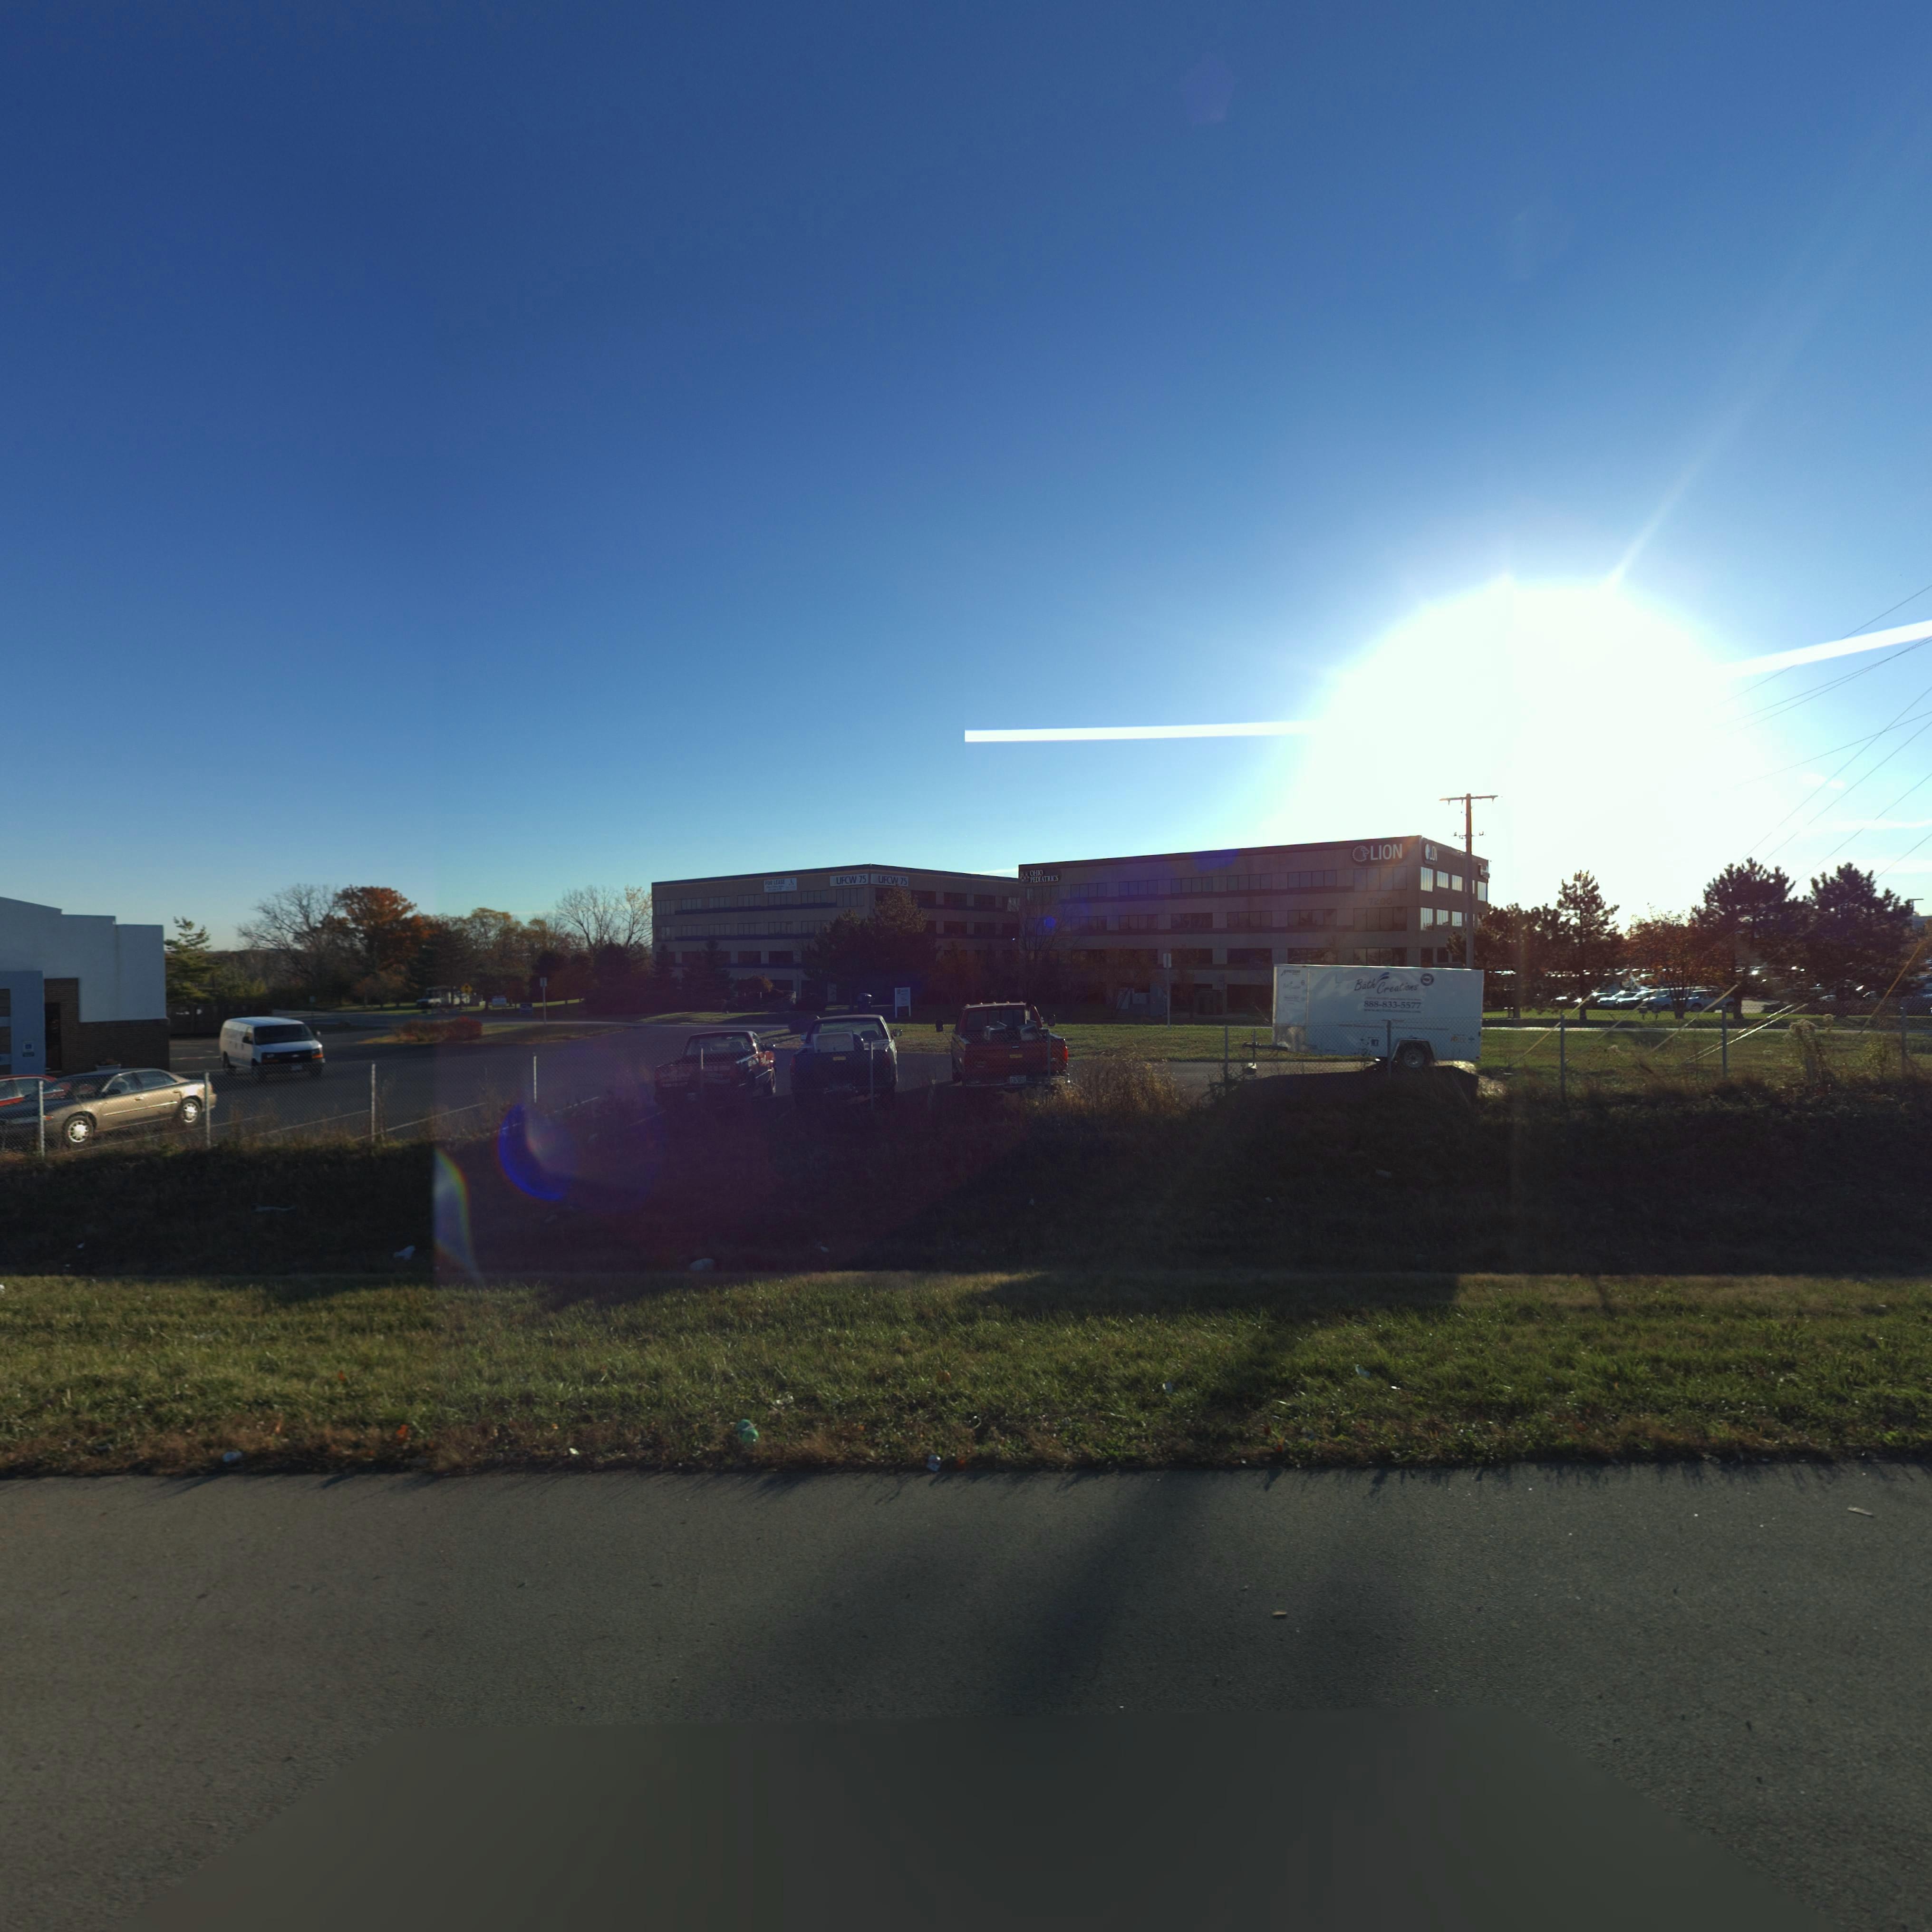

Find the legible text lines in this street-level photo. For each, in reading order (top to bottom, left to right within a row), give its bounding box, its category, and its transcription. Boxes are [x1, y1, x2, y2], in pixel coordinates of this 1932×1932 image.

[1369, 843, 1403, 861] BusinessName: LION
[763, 879, 787, 887] None: FOR LEASE
[834, 873, 867, 885] BusinessName: UFCW 75
[878, 875, 908, 886] BusinessName: UFCW 75
[1029, 869, 1045, 877] BusinessName: OHIO
[1030, 874, 1059, 883] BusinessName: PEDIATRICS
[1367, 896, 1393, 907] StreetNumber: 7200
[1352, 978, 1420, 994] BusinessName: Bath Creations
[1363, 1000, 1421, 1010] None: 888-833-5577